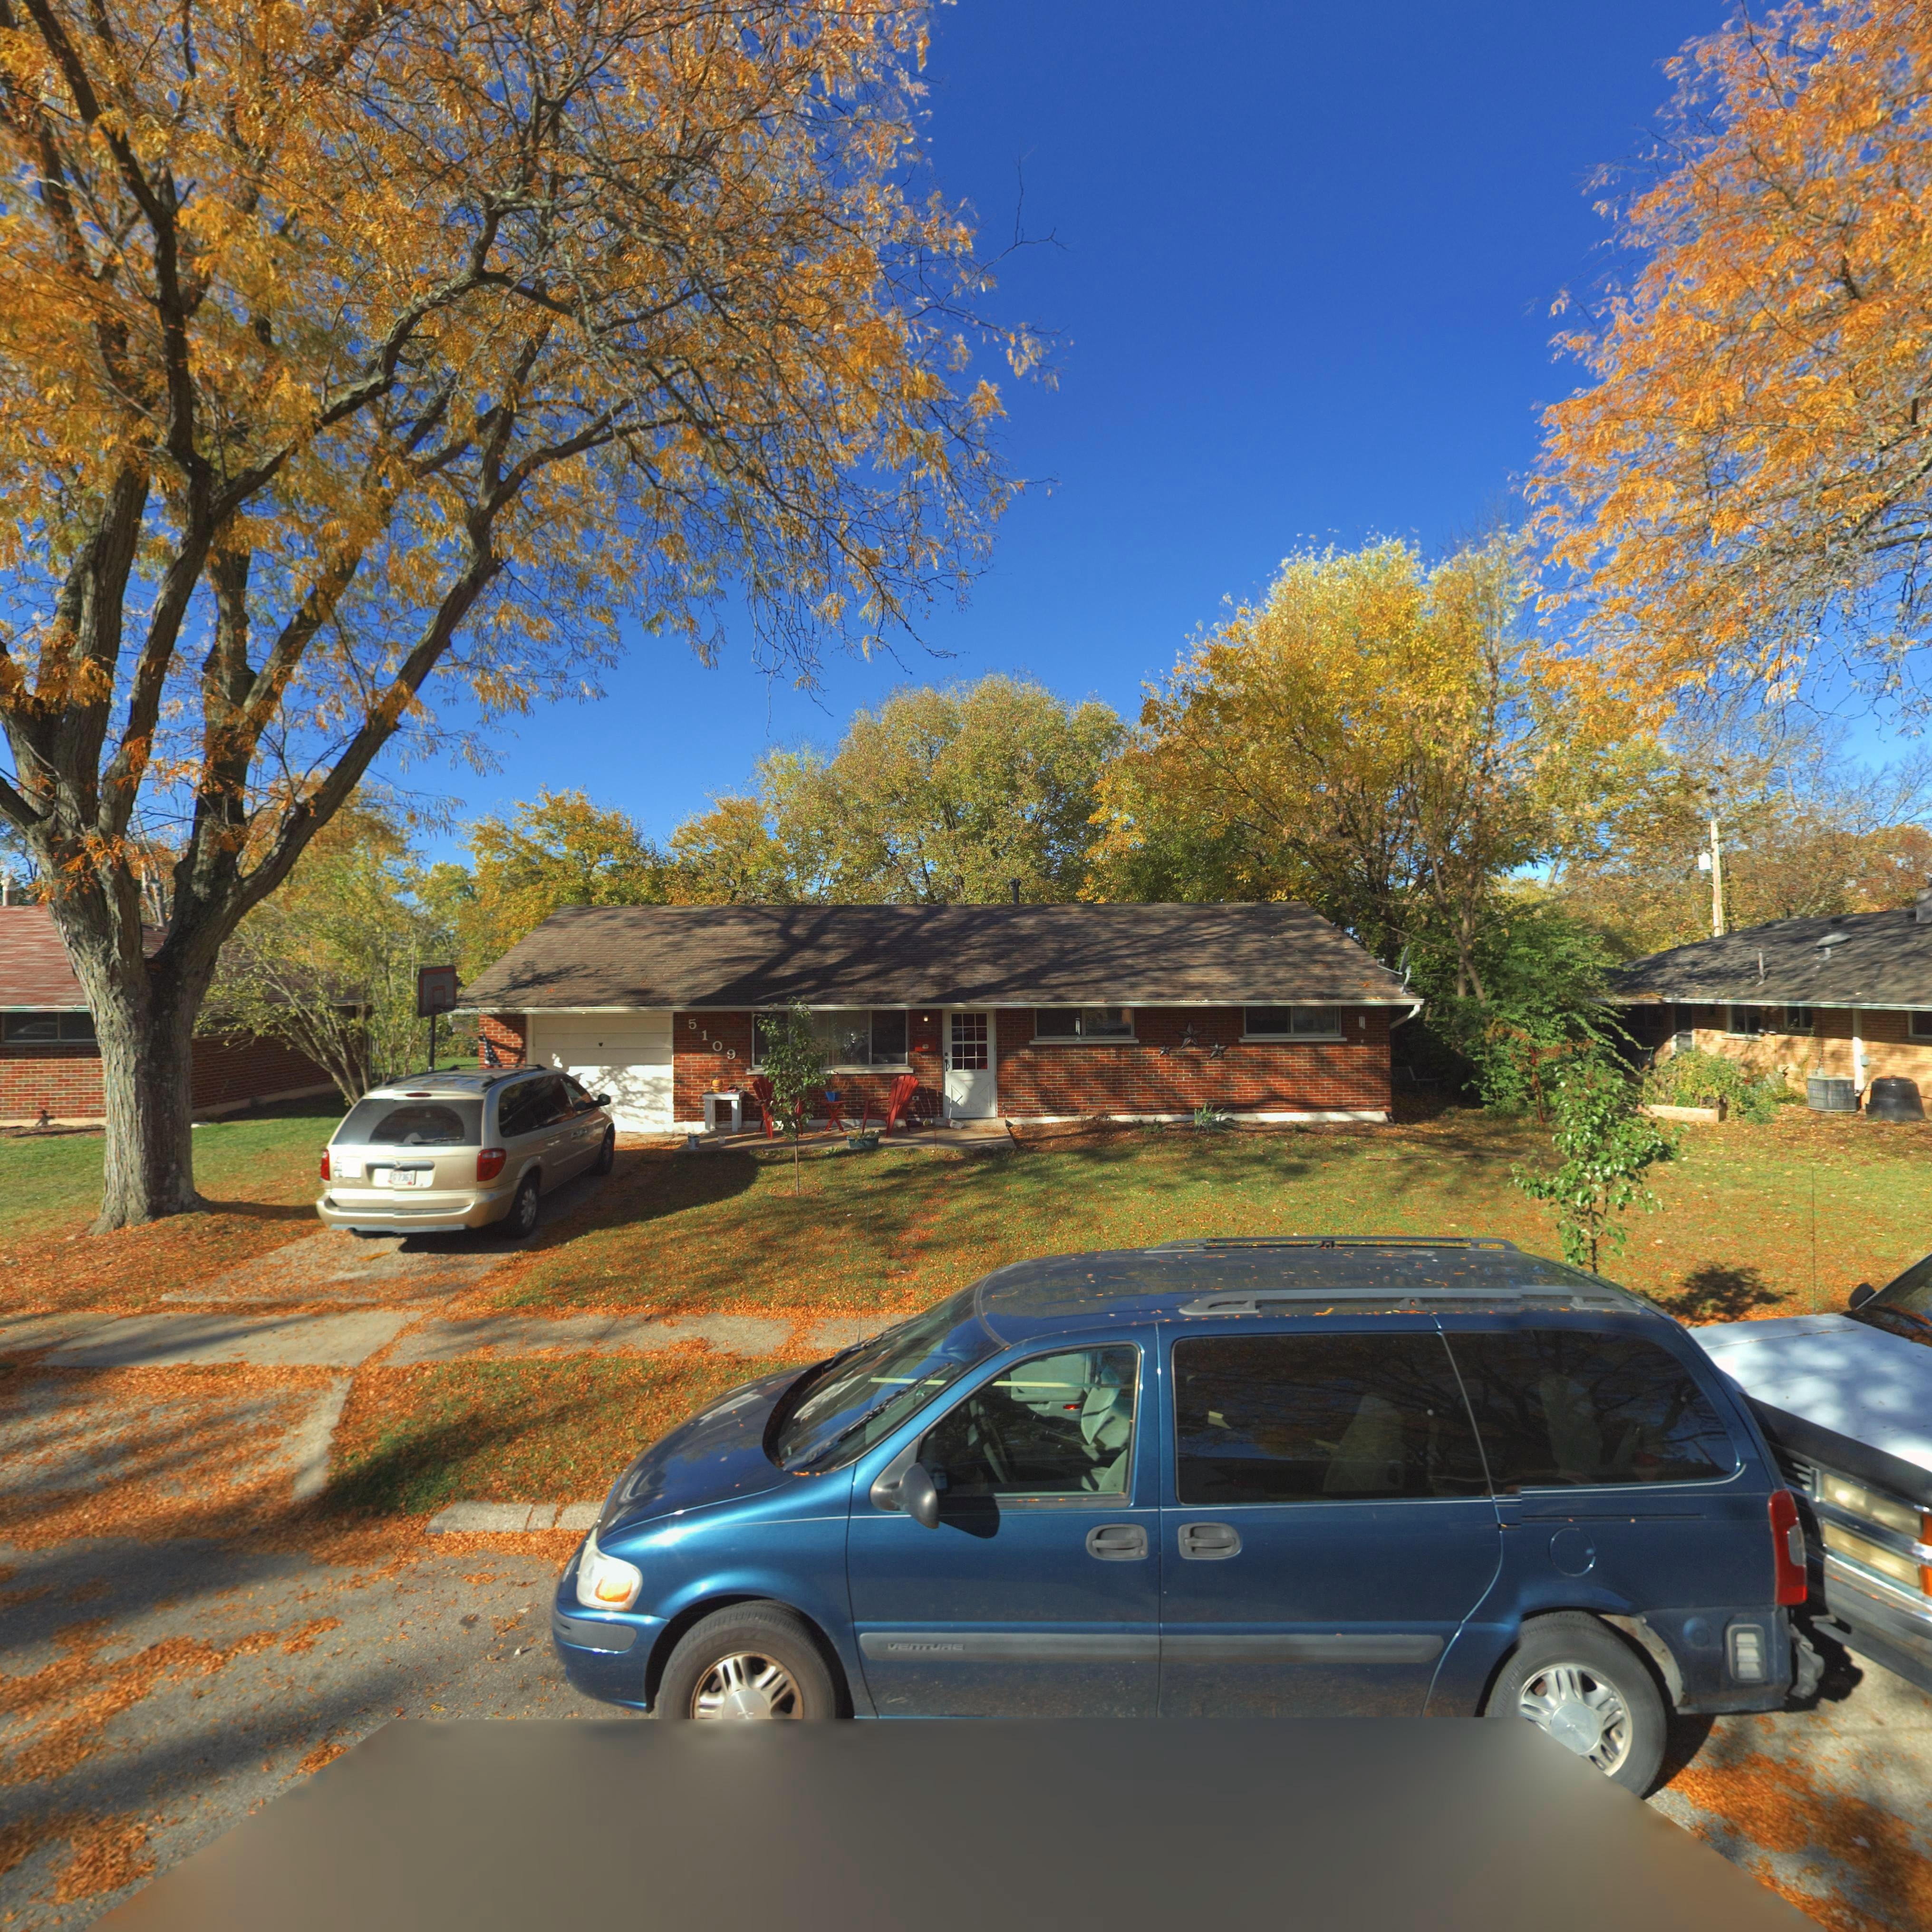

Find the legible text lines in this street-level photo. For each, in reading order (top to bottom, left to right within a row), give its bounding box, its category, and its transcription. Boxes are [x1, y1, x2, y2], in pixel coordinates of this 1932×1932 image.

[687, 1018, 736, 1060] StreetNumber: 5109